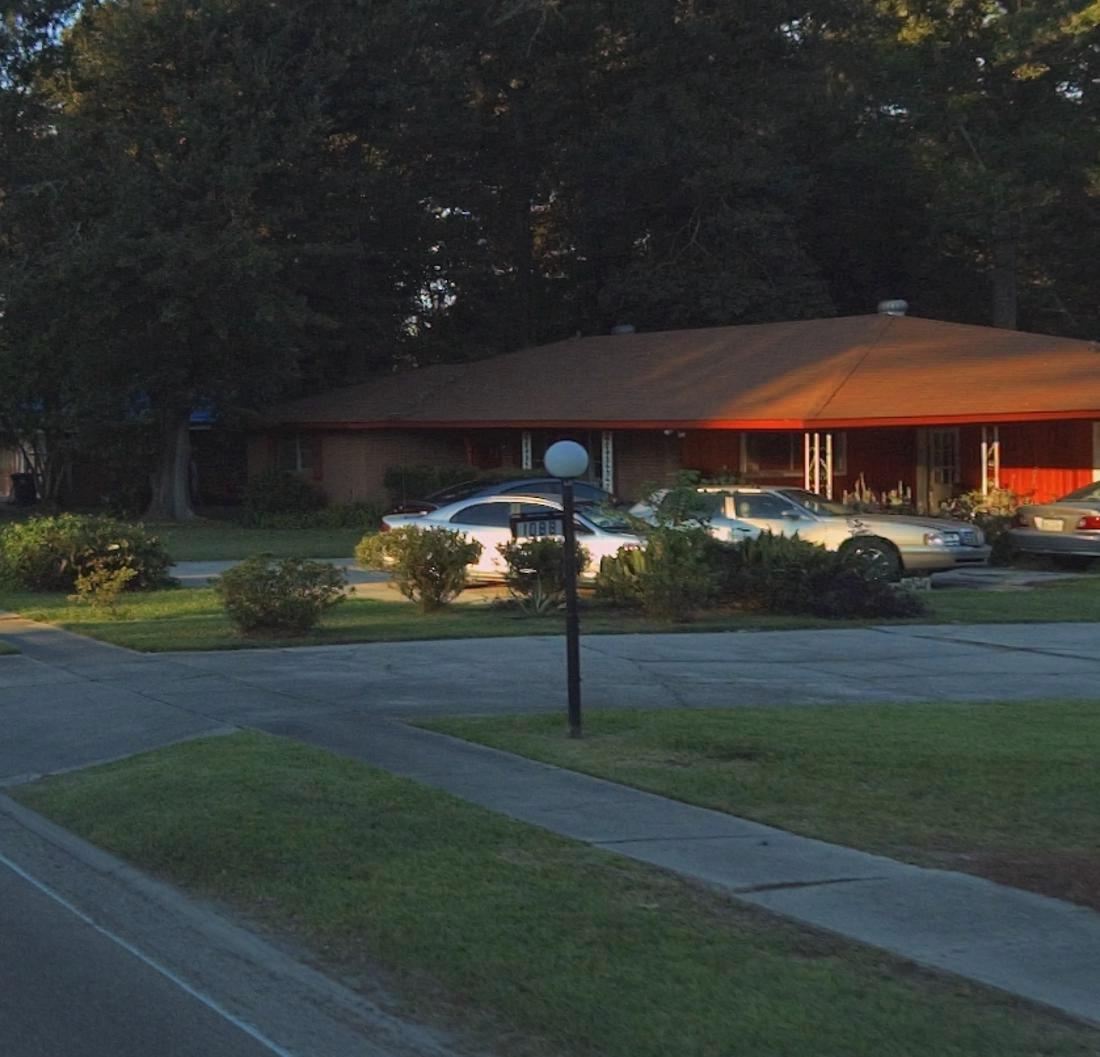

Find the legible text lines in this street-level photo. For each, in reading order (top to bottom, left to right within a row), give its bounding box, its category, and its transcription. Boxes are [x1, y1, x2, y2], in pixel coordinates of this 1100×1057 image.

[522, 520, 557, 537] StreetNumber: 1088